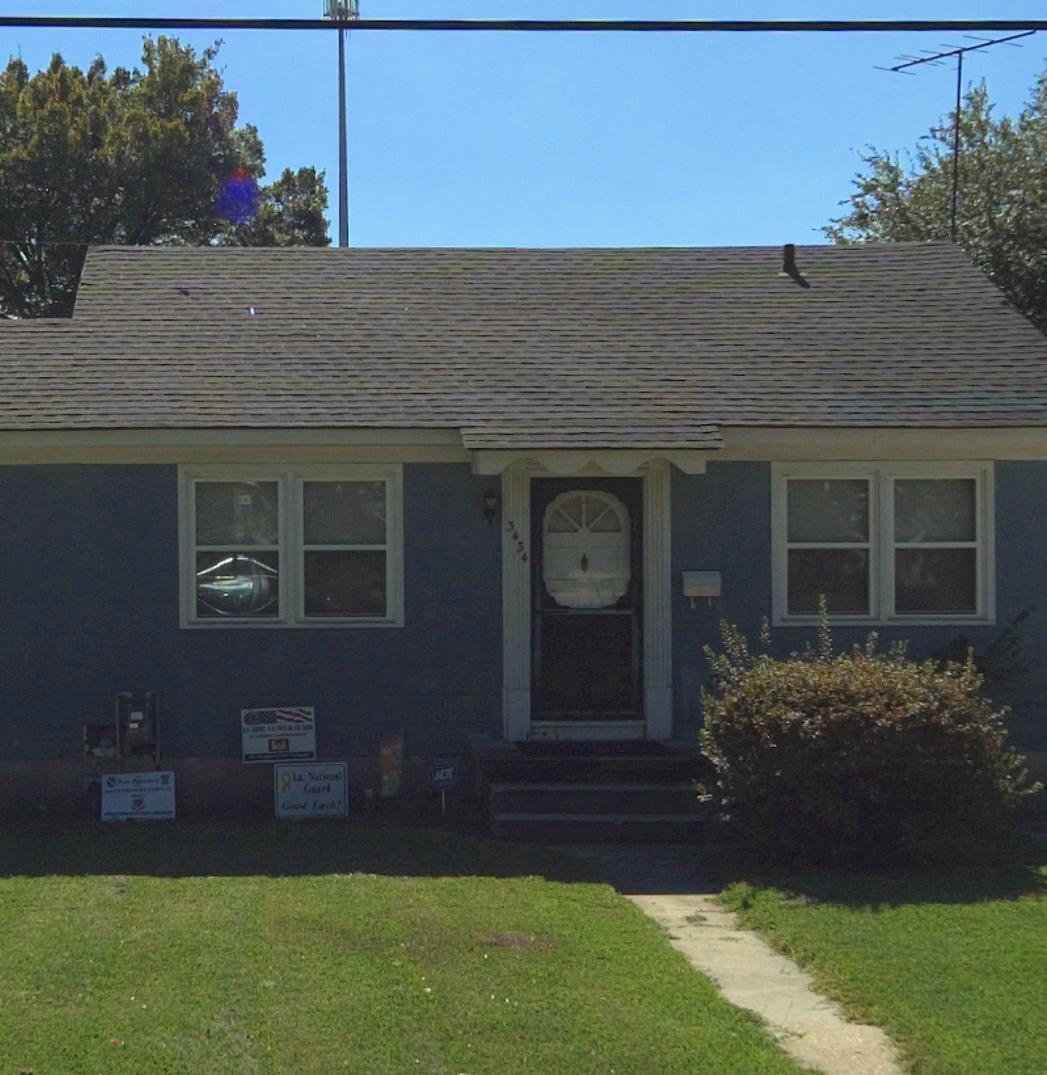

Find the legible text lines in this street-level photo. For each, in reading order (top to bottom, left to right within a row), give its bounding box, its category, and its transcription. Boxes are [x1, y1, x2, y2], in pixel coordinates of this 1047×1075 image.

[506, 519, 530, 565] StreetNumber: 3454
[291, 769, 344, 783] None: La National
[433, 767, 455, 781] None: ADT
[303, 781, 331, 795] None: Guard
[281, 799, 338, 812] None: Good Luck